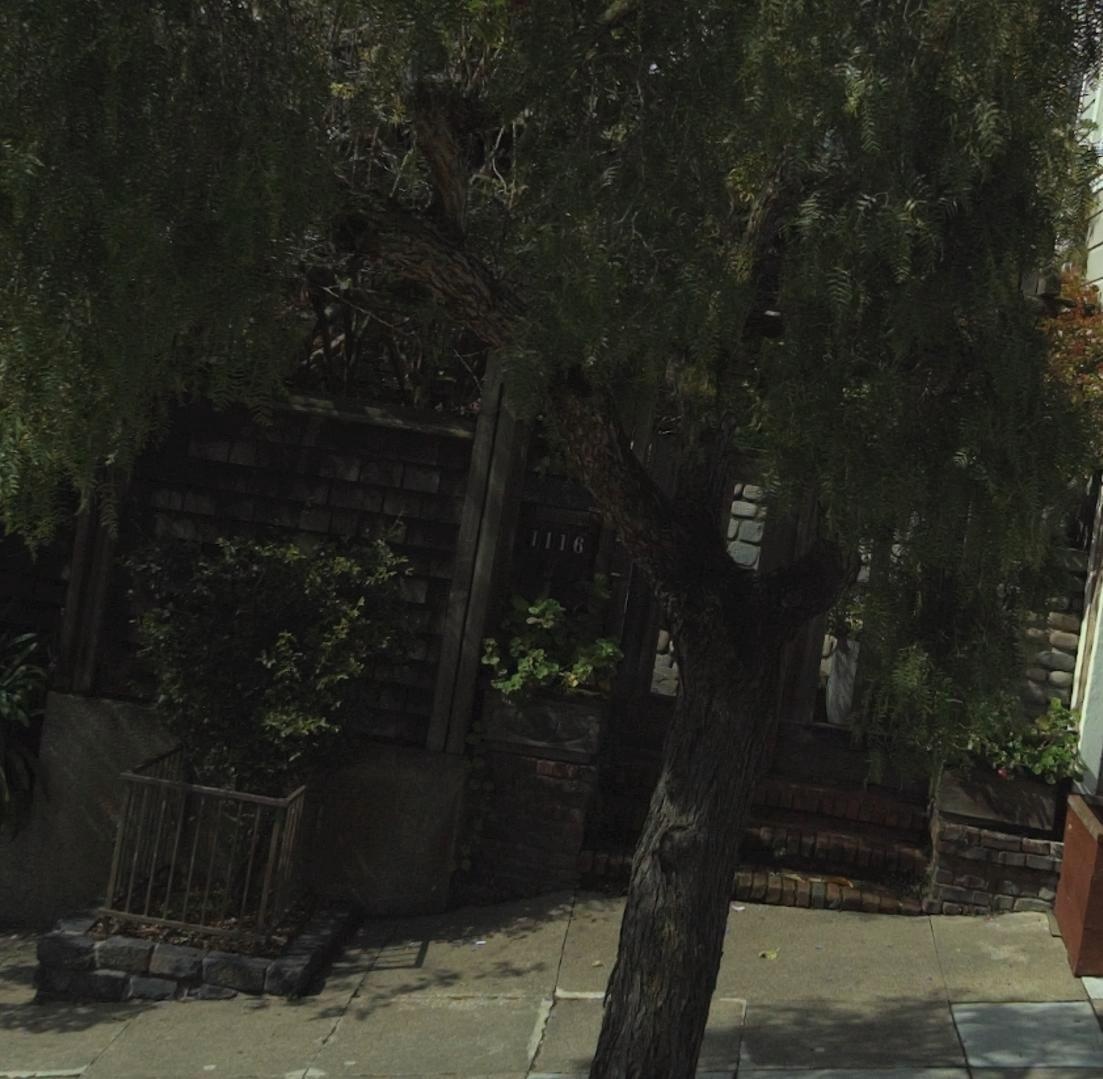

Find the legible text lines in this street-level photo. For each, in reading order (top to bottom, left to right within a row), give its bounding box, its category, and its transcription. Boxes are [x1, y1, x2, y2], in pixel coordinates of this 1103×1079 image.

[525, 524, 587, 557] StreetNumber: 1116